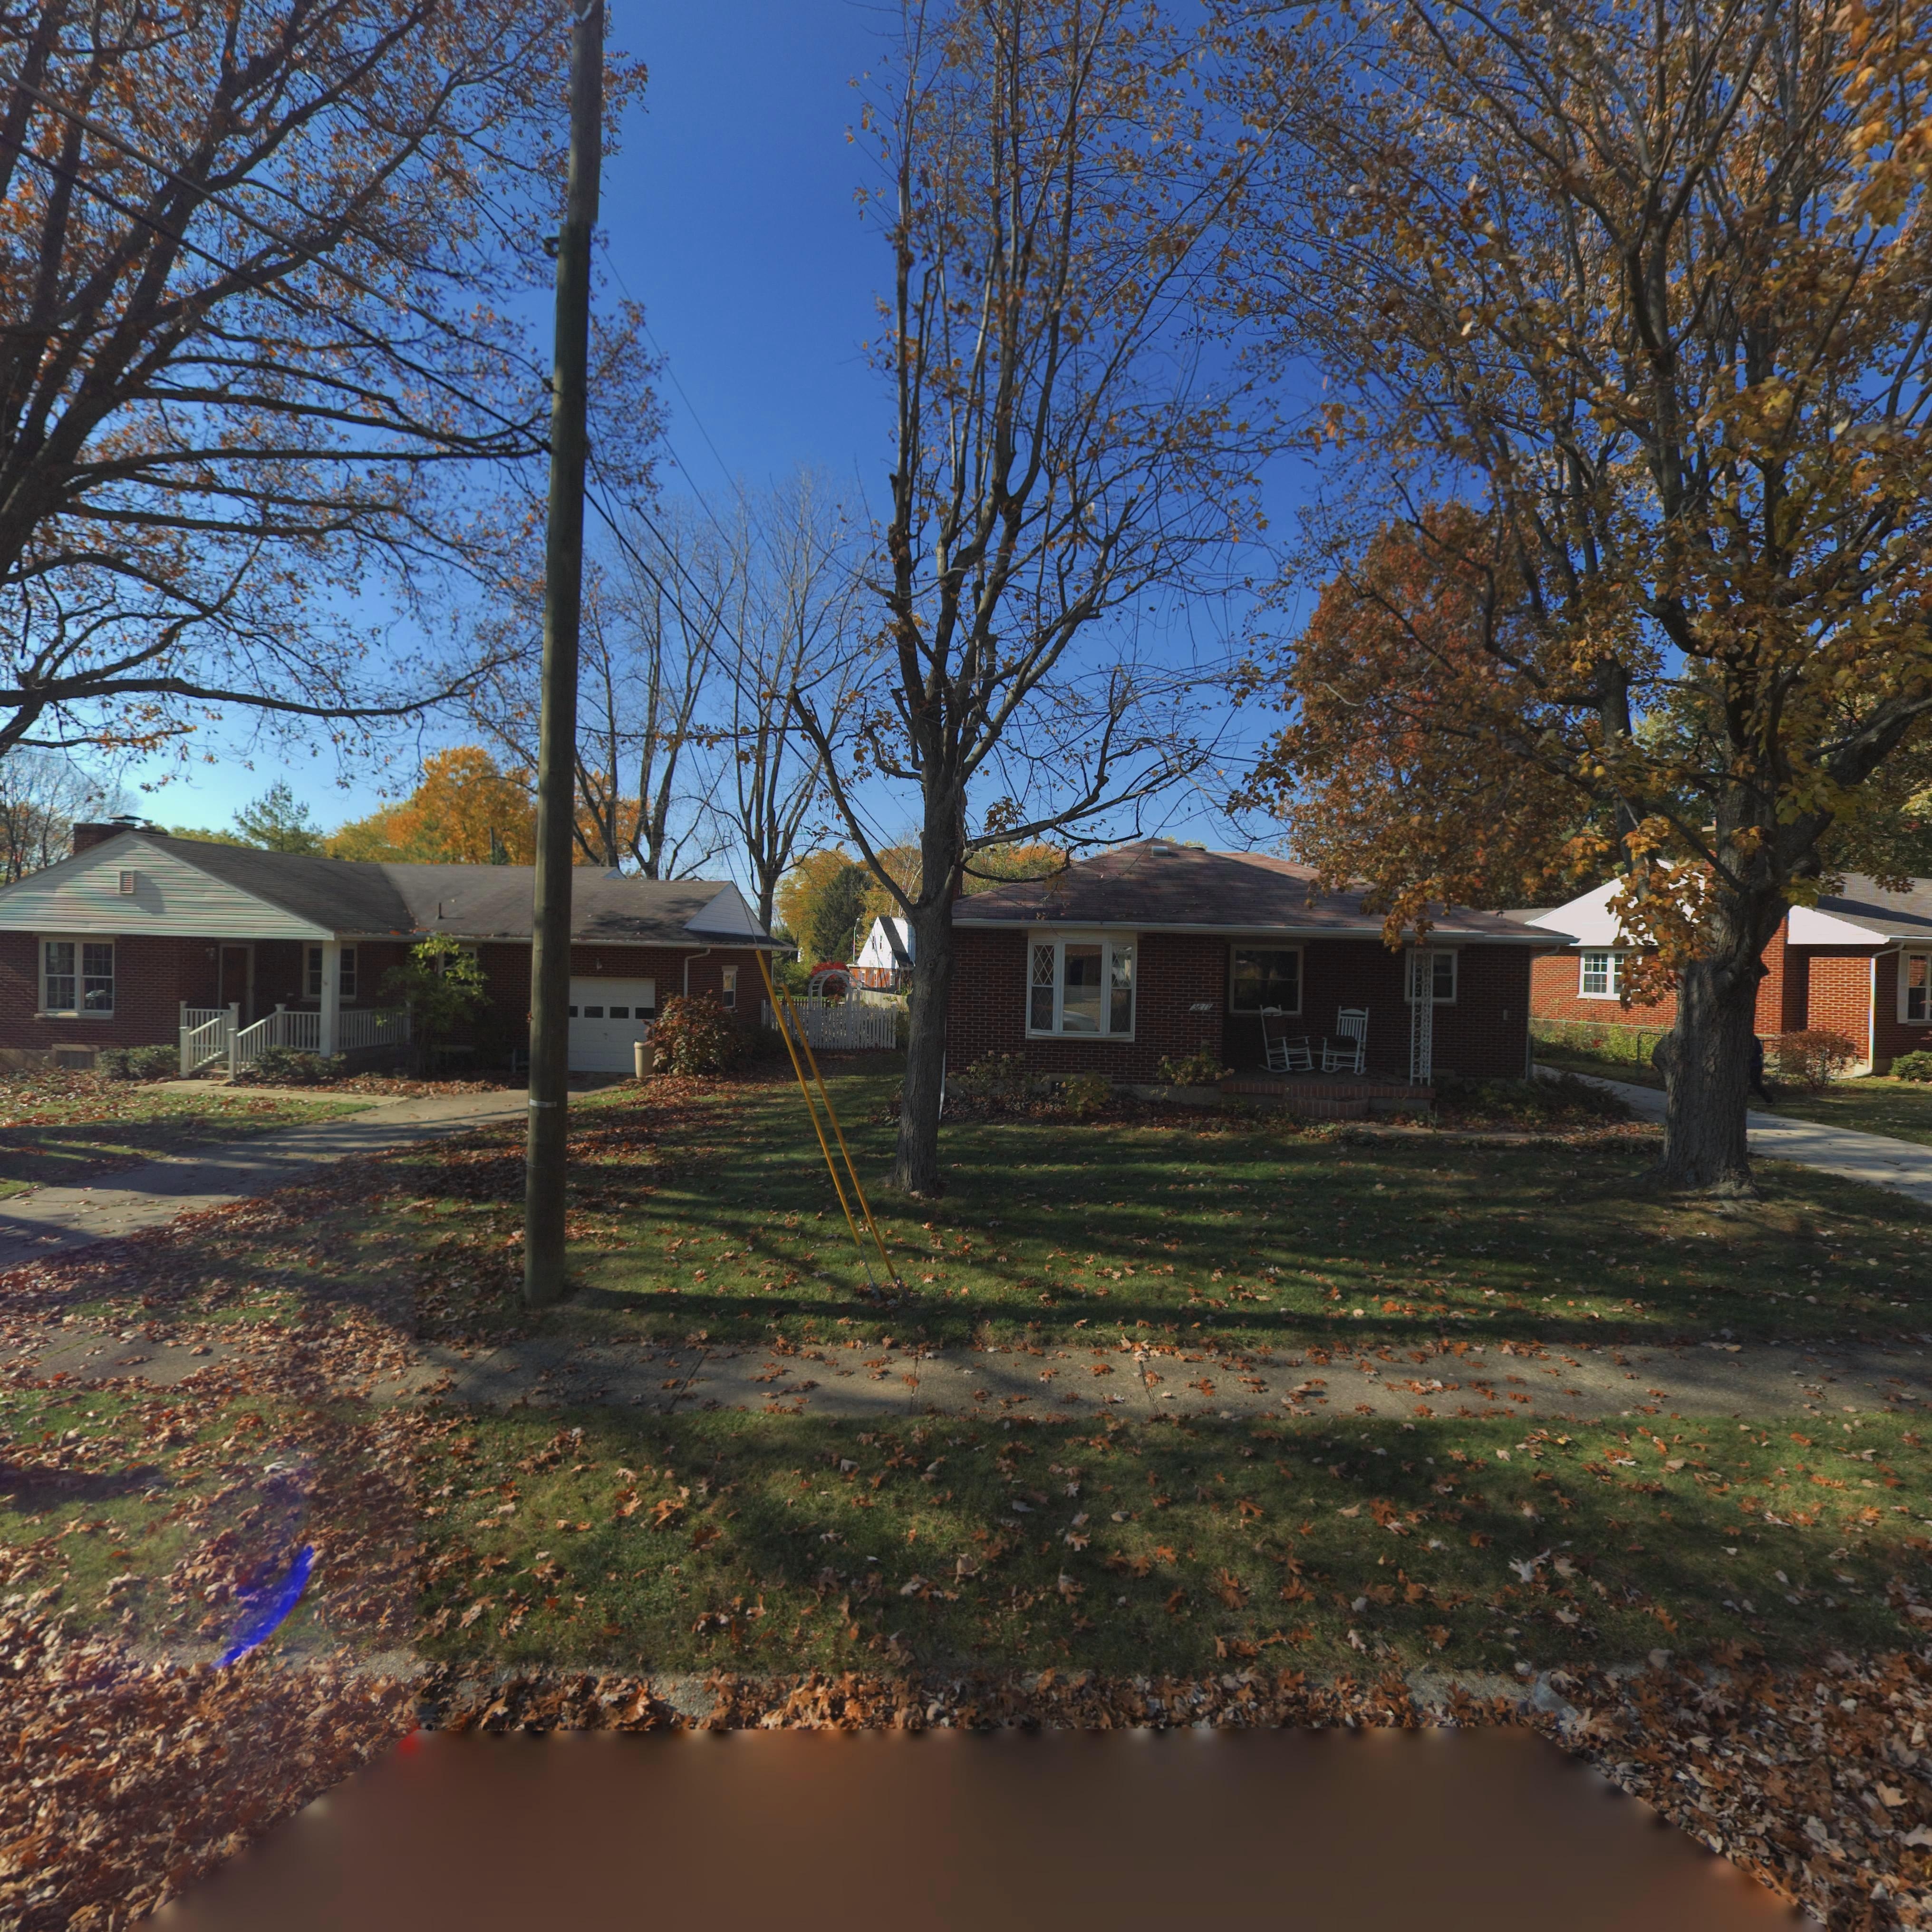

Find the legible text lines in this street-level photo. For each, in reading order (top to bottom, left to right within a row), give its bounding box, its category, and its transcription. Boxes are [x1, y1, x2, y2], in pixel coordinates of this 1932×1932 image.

[1189, 1003, 1213, 1012] StreetNumber: 3817